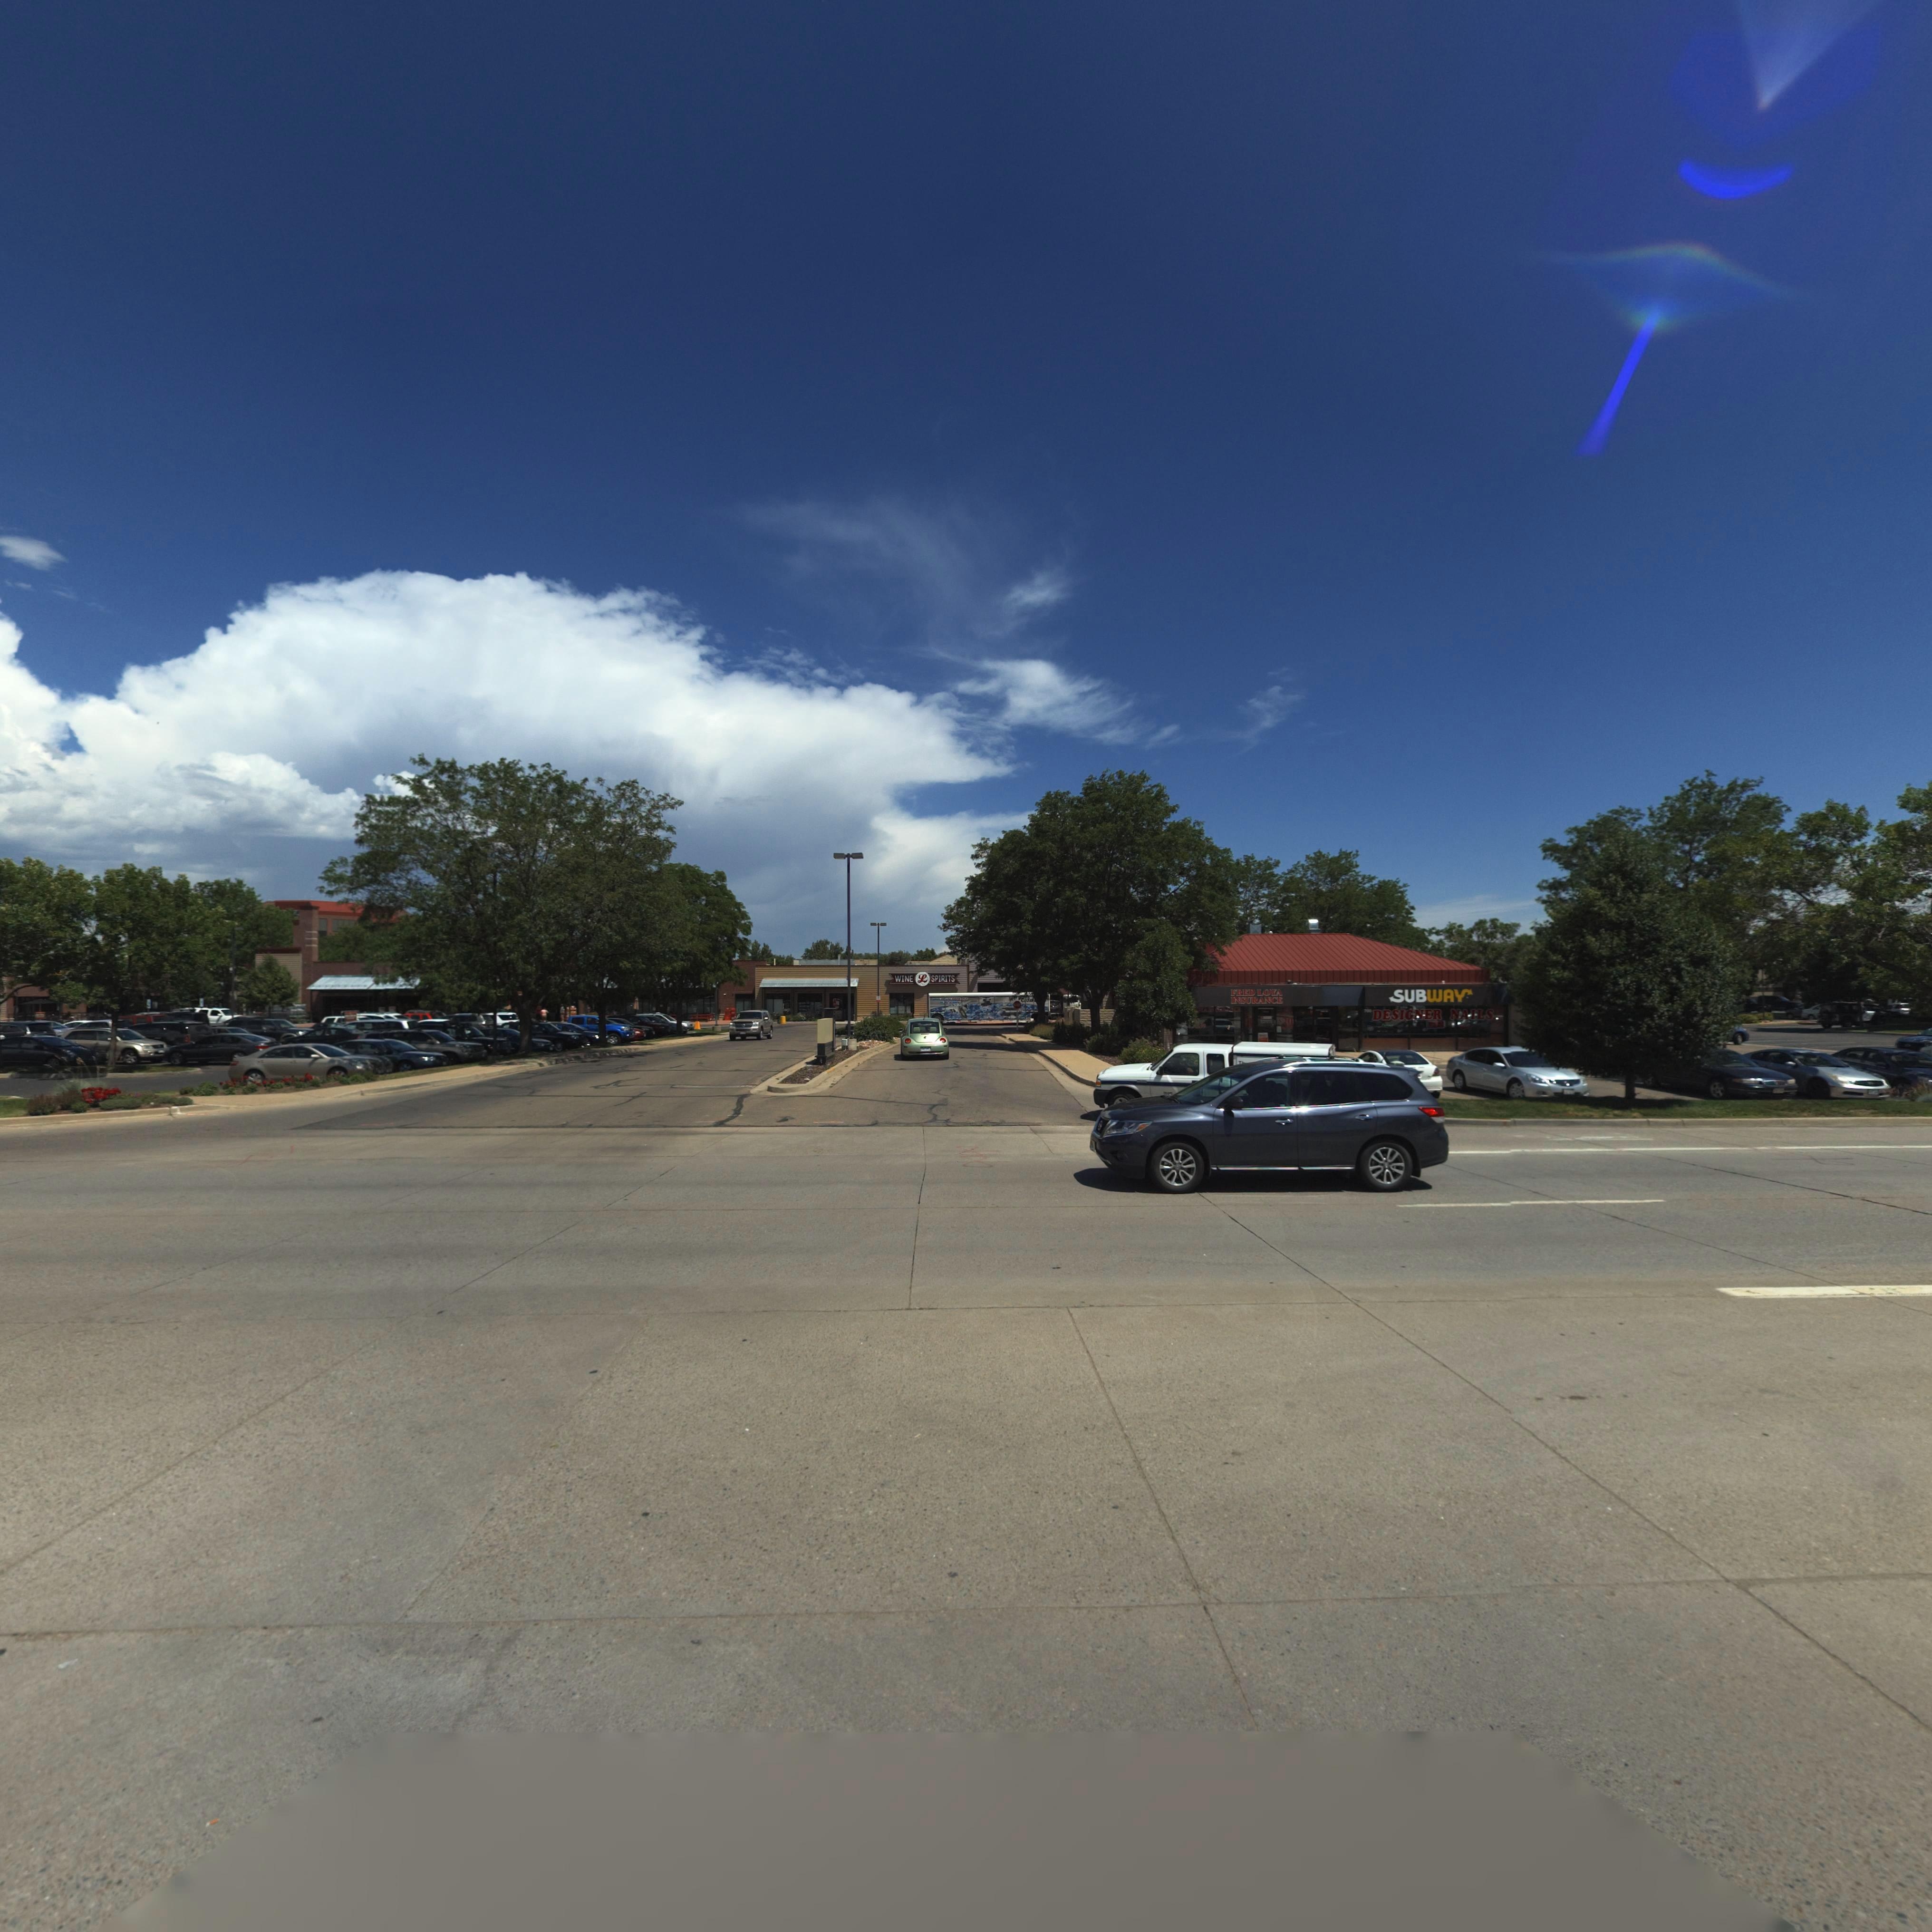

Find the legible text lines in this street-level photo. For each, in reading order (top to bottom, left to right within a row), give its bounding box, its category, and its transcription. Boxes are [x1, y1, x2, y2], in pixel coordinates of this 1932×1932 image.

[894, 974, 955, 983] BusinessName: WINE L SPIRITS
[1231, 988, 1282, 996] BusinessName: FRED LOYA
[1230, 996, 1283, 1004] BusinessName: INSURANCE
[1388, 988, 1474, 1004] BusinessName: SUBWAY